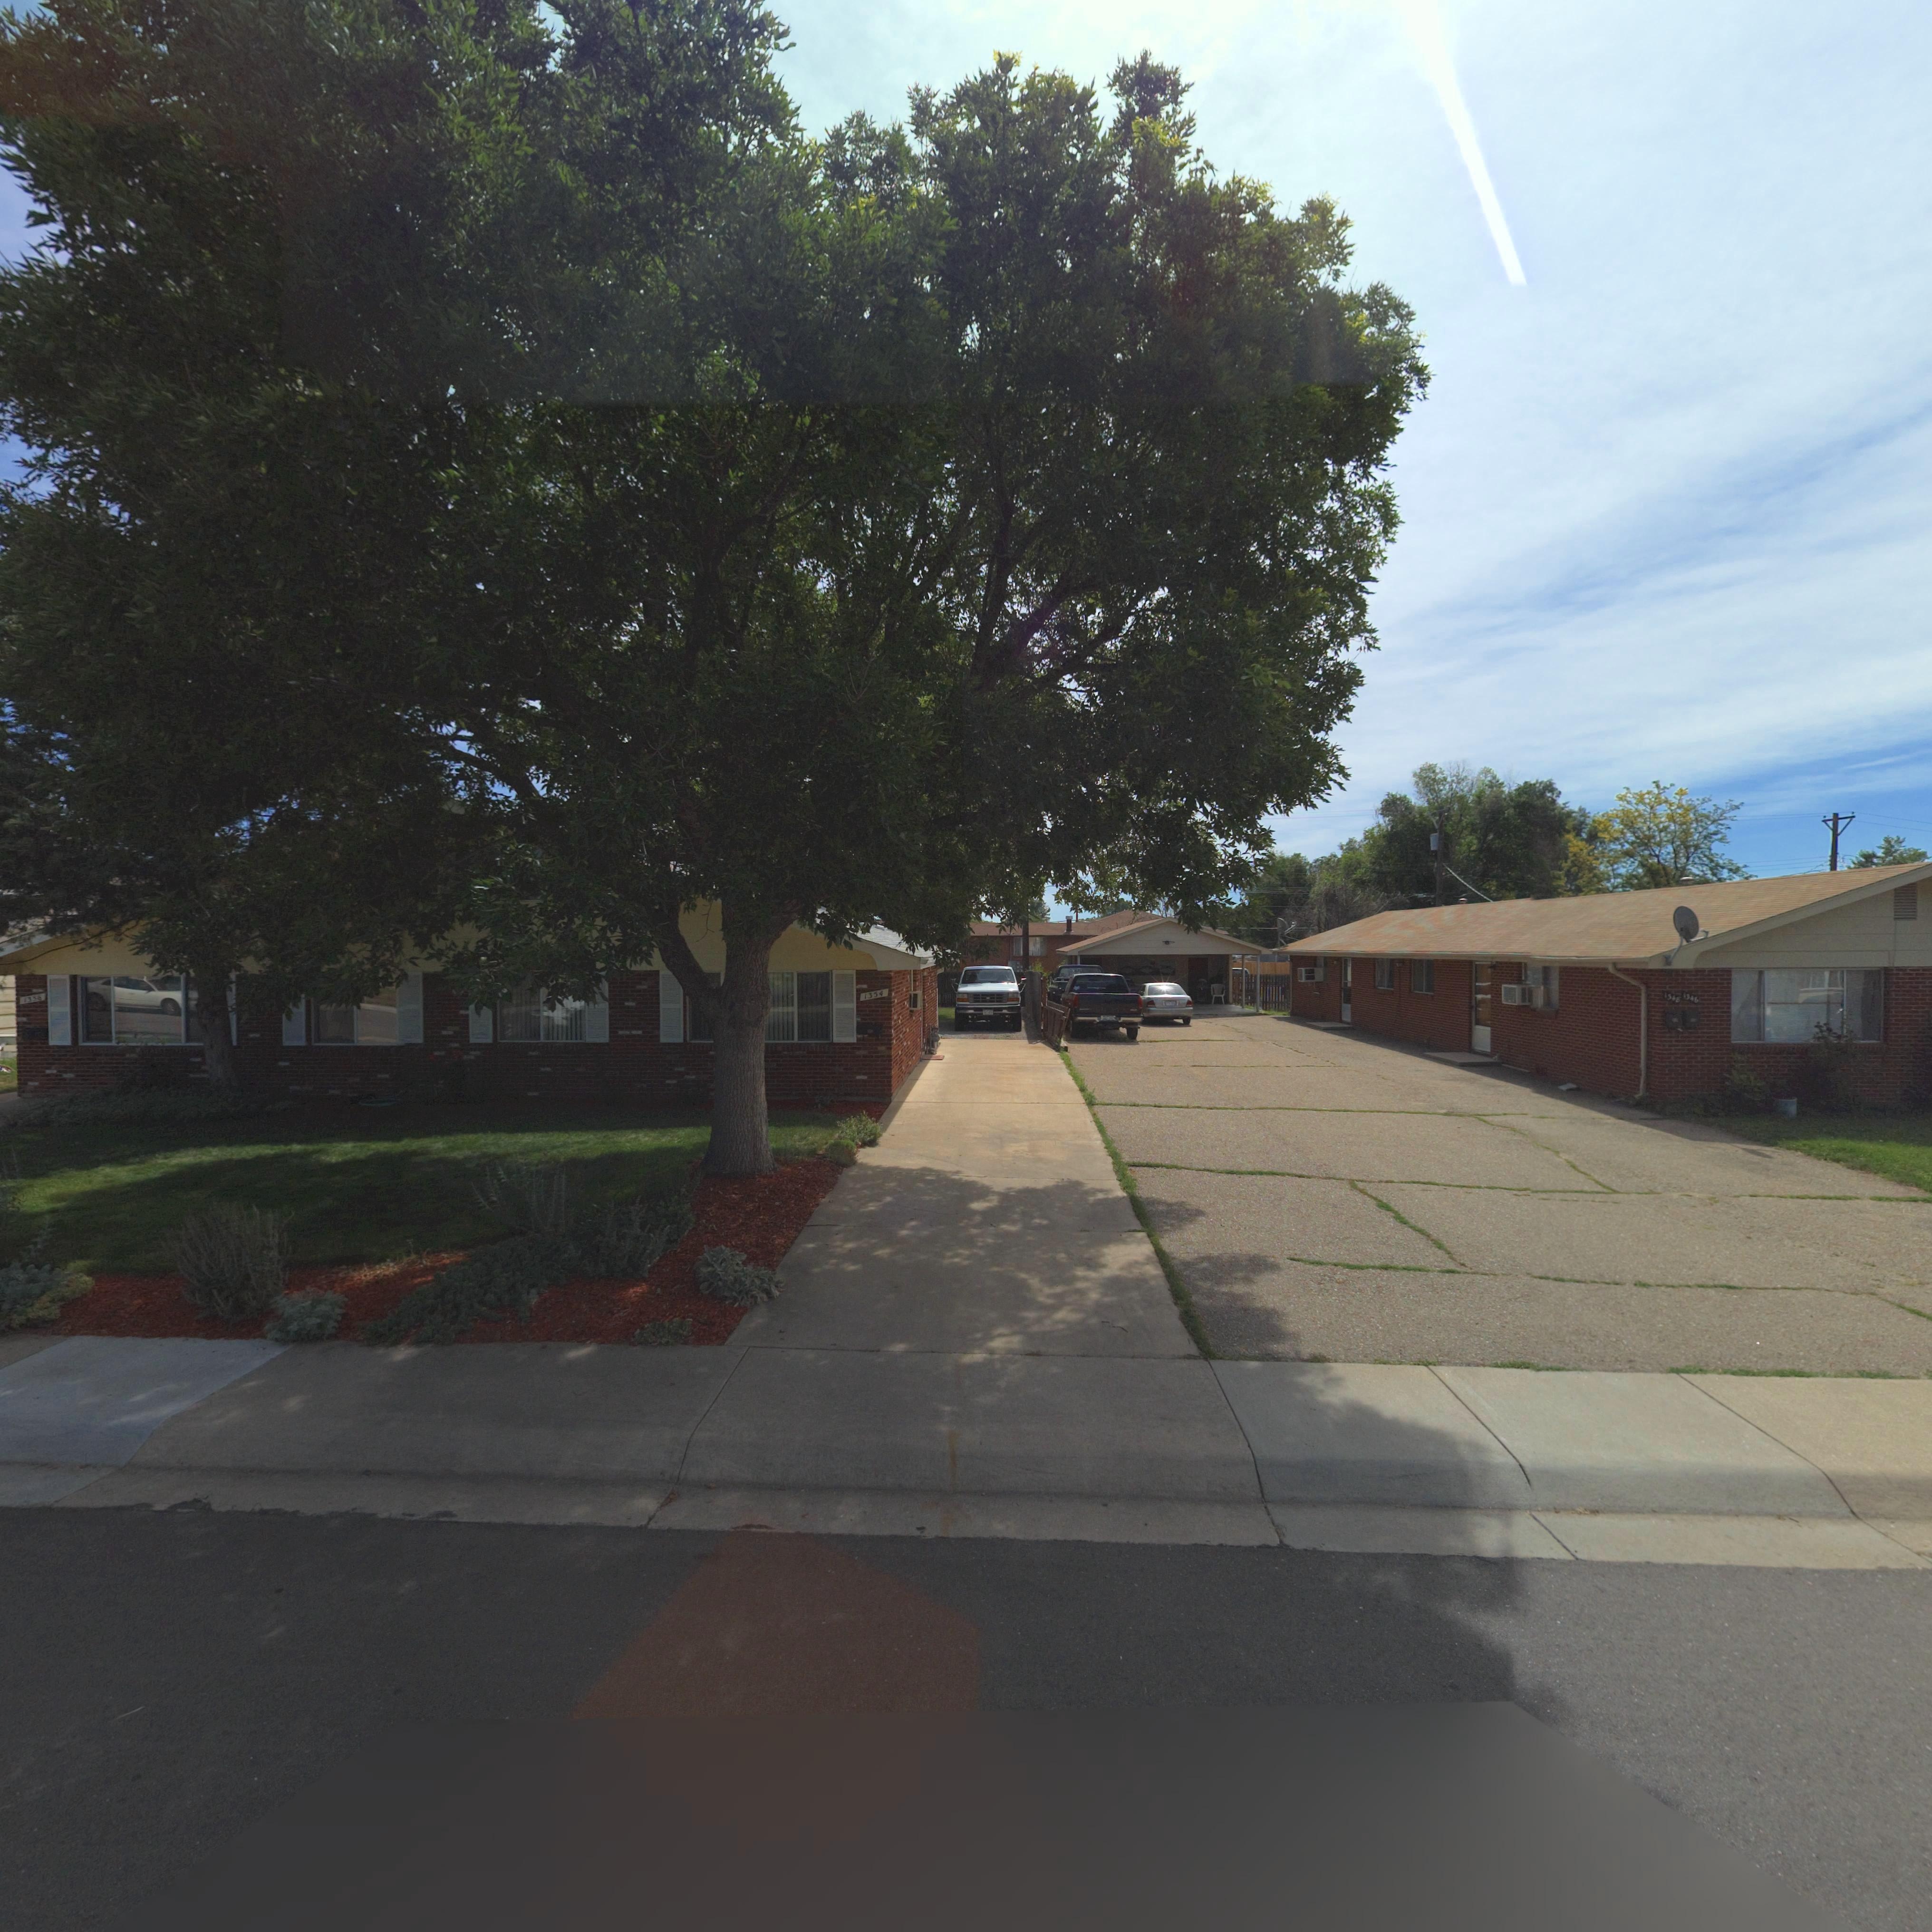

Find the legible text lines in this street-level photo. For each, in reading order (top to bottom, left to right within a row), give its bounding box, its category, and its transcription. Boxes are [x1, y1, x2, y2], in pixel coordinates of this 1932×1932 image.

[22, 994, 42, 1004] StreetNumber: 1356
[864, 990, 884, 1000] StreetNumber: 1354
[1663, 991, 1681, 1004] StreetNumber: 1548
[1682, 991, 1699, 1004] StreetNumber: 1546